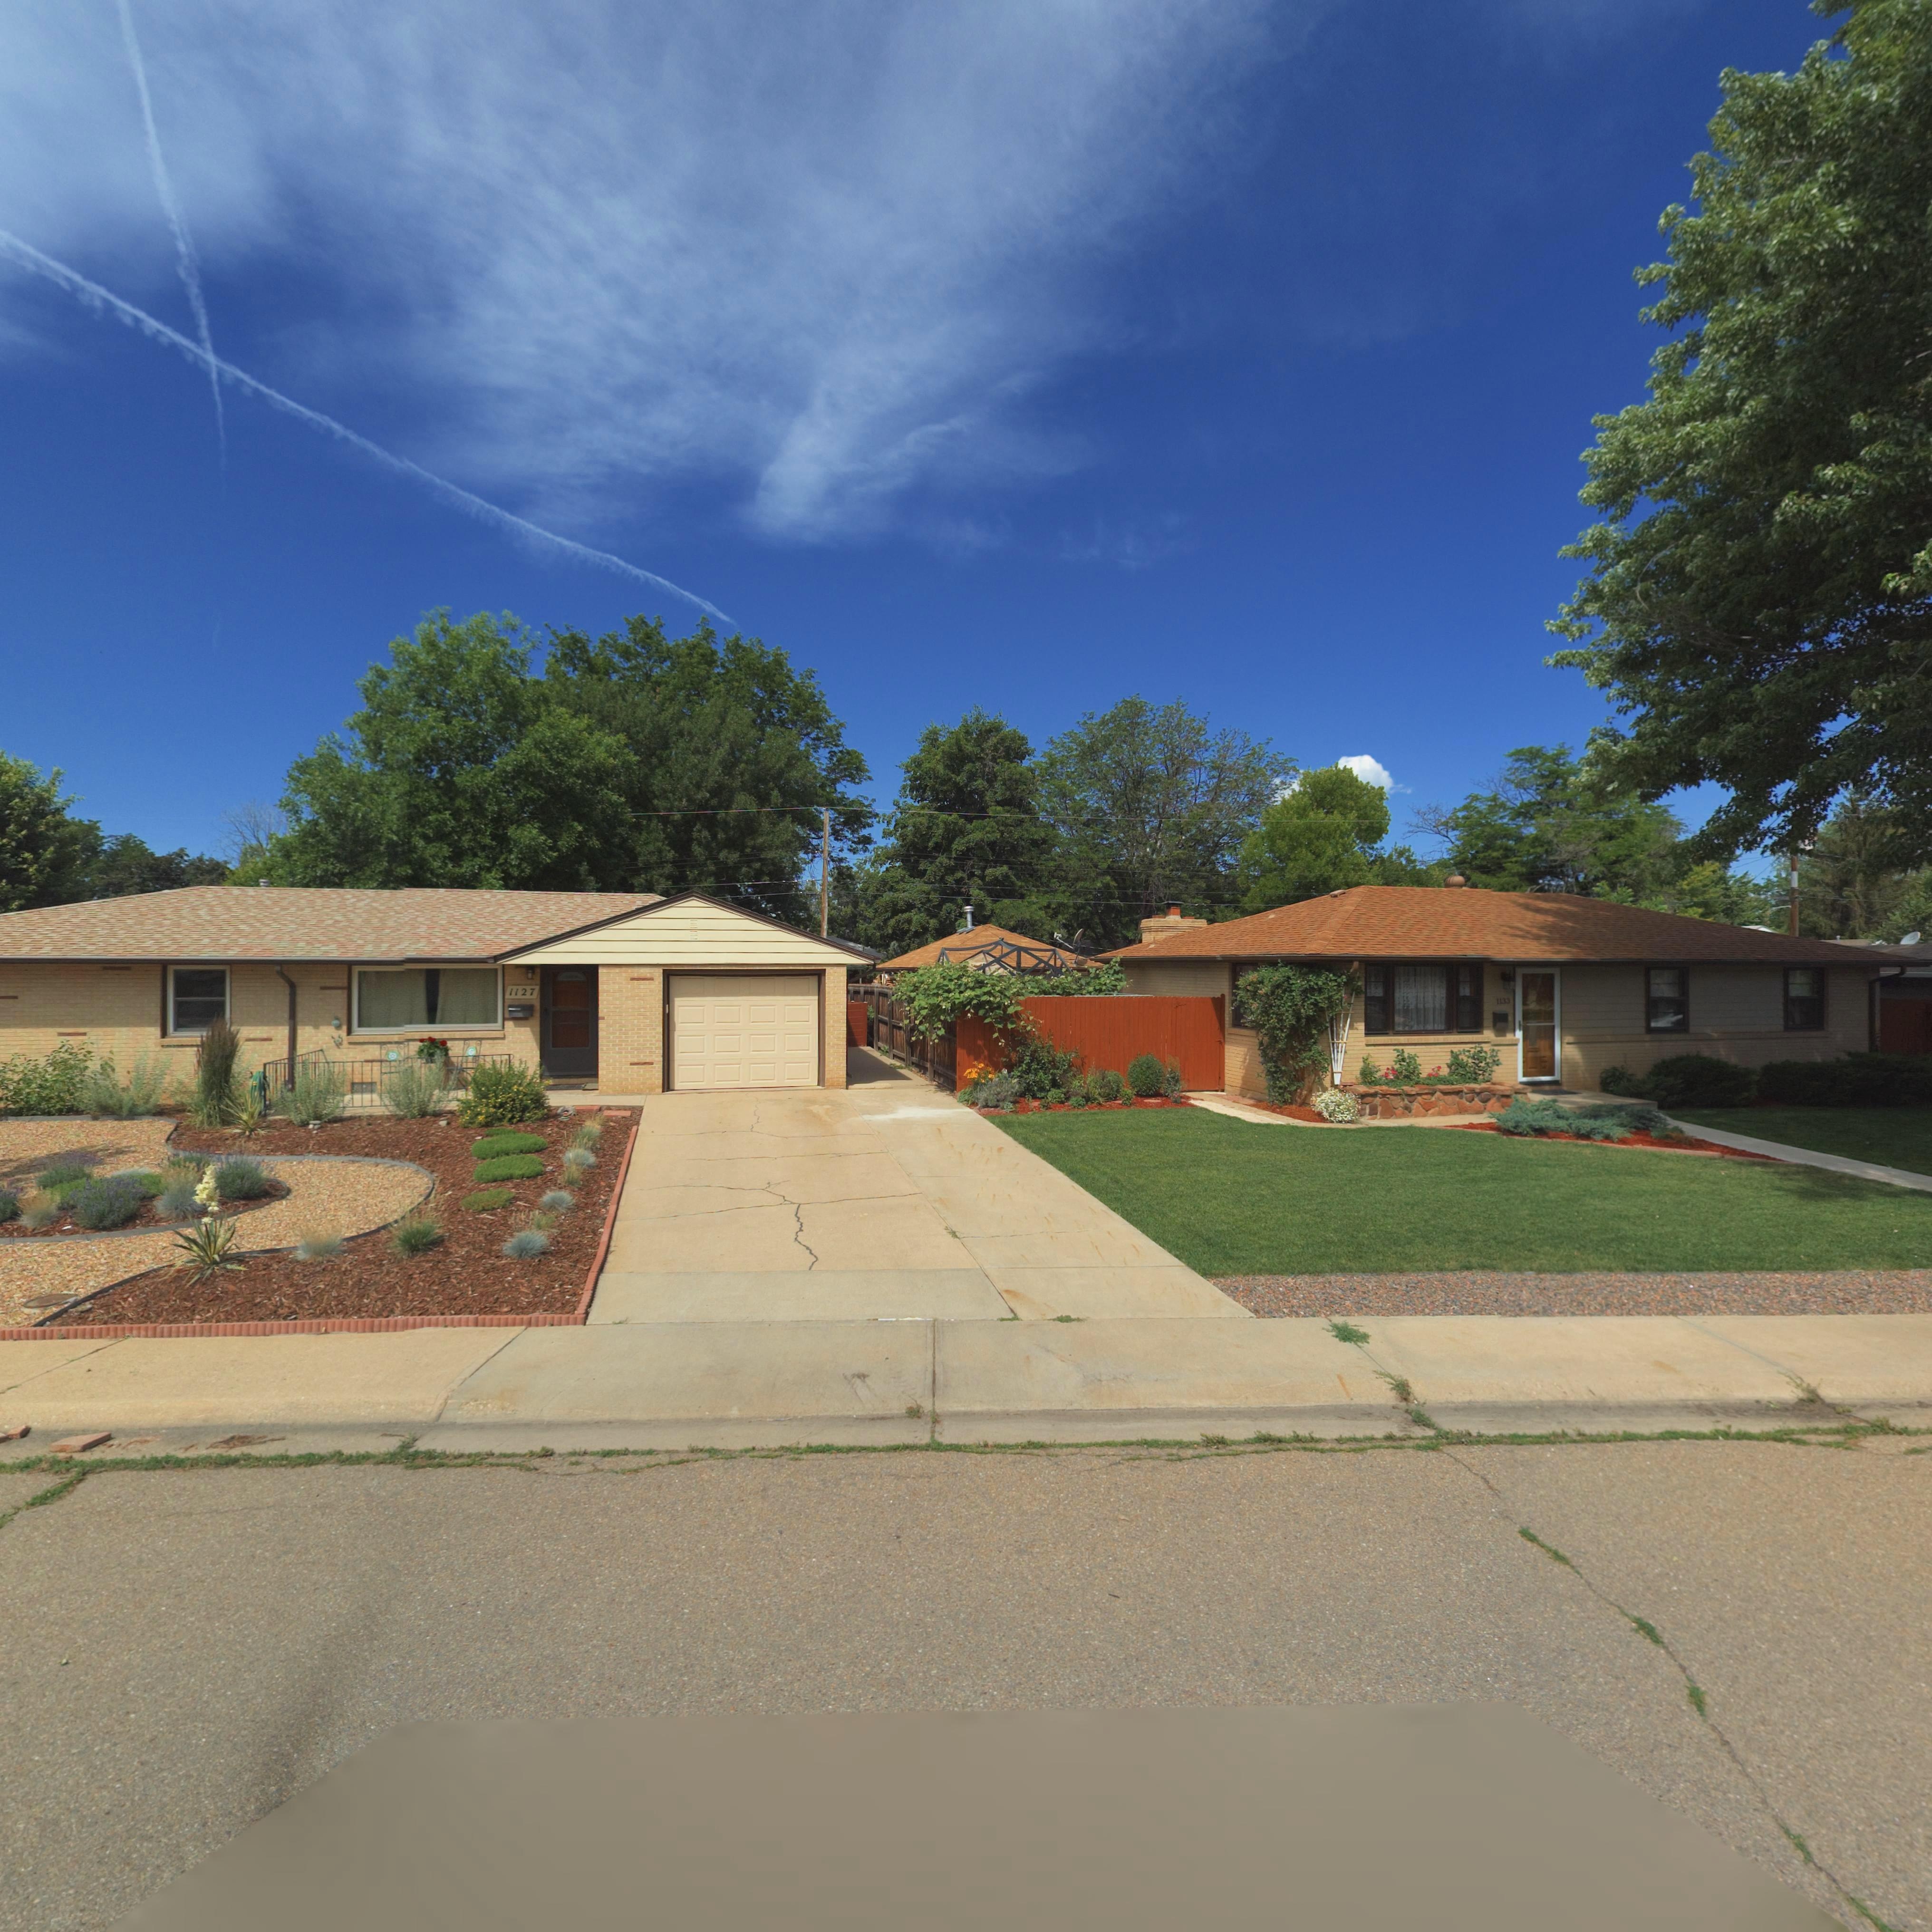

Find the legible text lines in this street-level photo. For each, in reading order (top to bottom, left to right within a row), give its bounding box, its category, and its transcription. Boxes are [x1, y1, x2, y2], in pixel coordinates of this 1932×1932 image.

[509, 987, 535, 995] StreetNumber: 1127
[1496, 997, 1510, 1004] StreetNumber: 1133